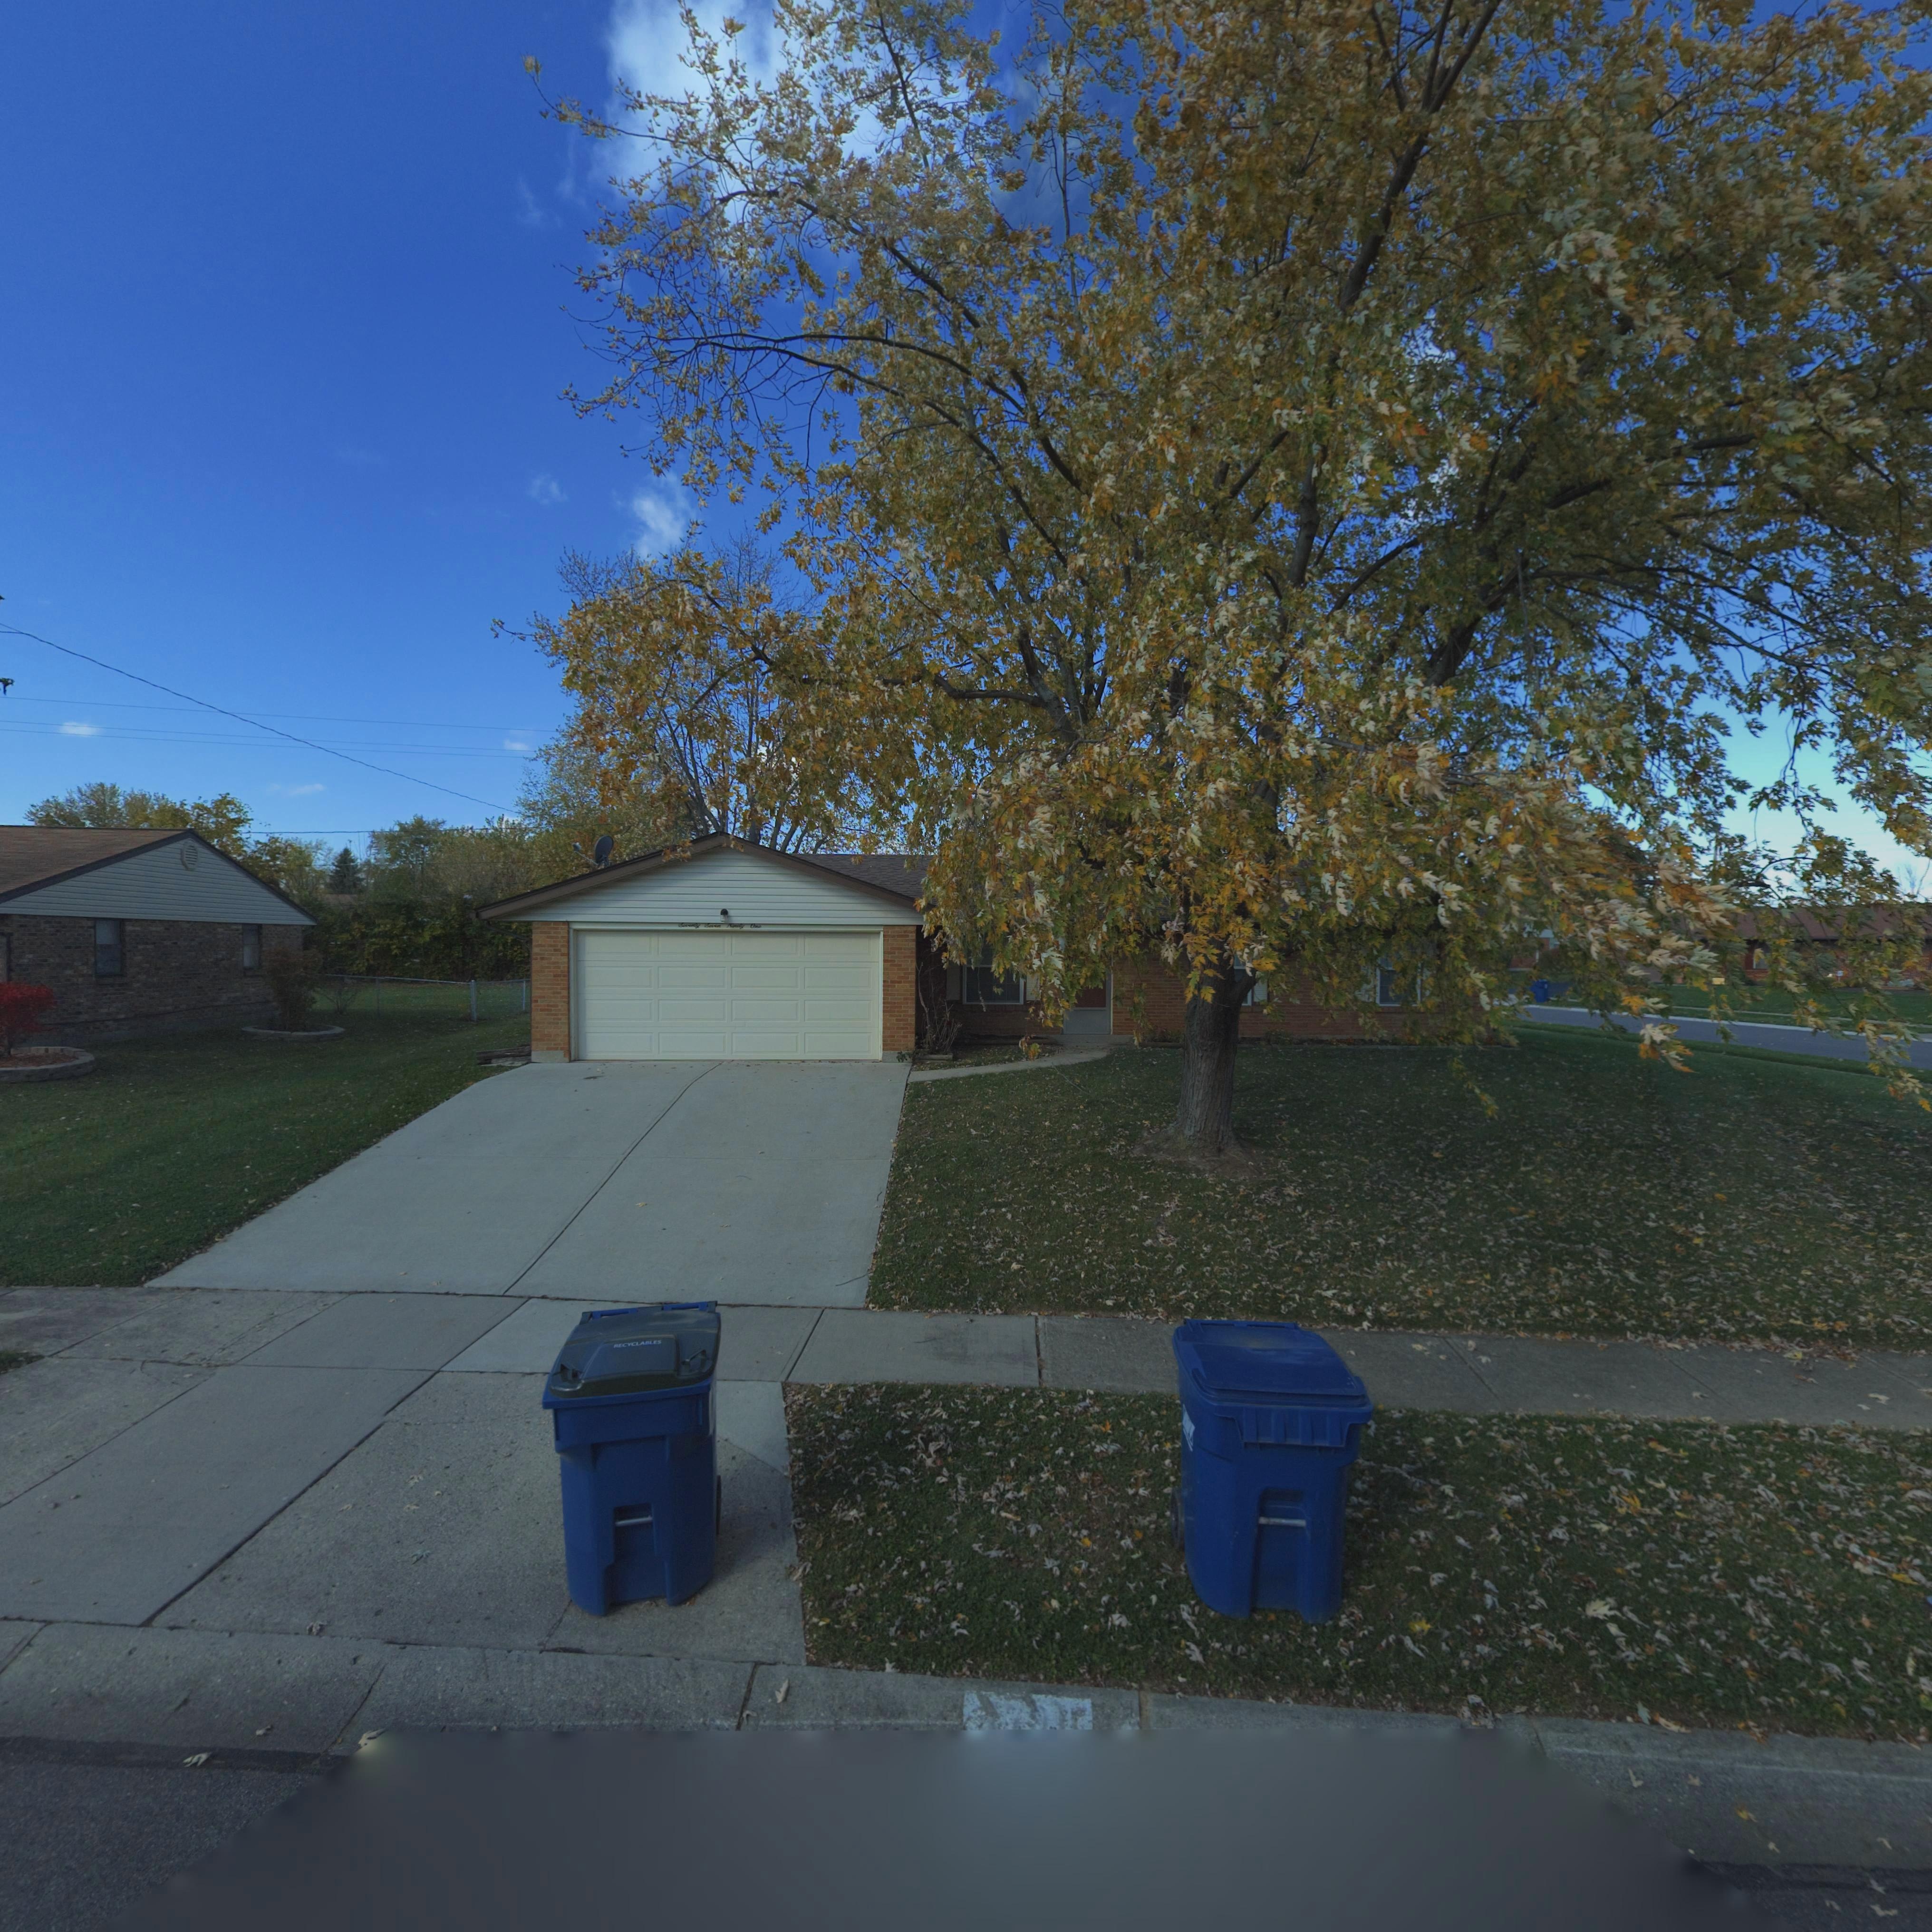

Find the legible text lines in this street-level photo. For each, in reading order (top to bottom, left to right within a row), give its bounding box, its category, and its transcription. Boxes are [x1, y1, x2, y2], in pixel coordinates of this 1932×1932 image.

[749, 922, 763, 930] StreetNumber: 0**